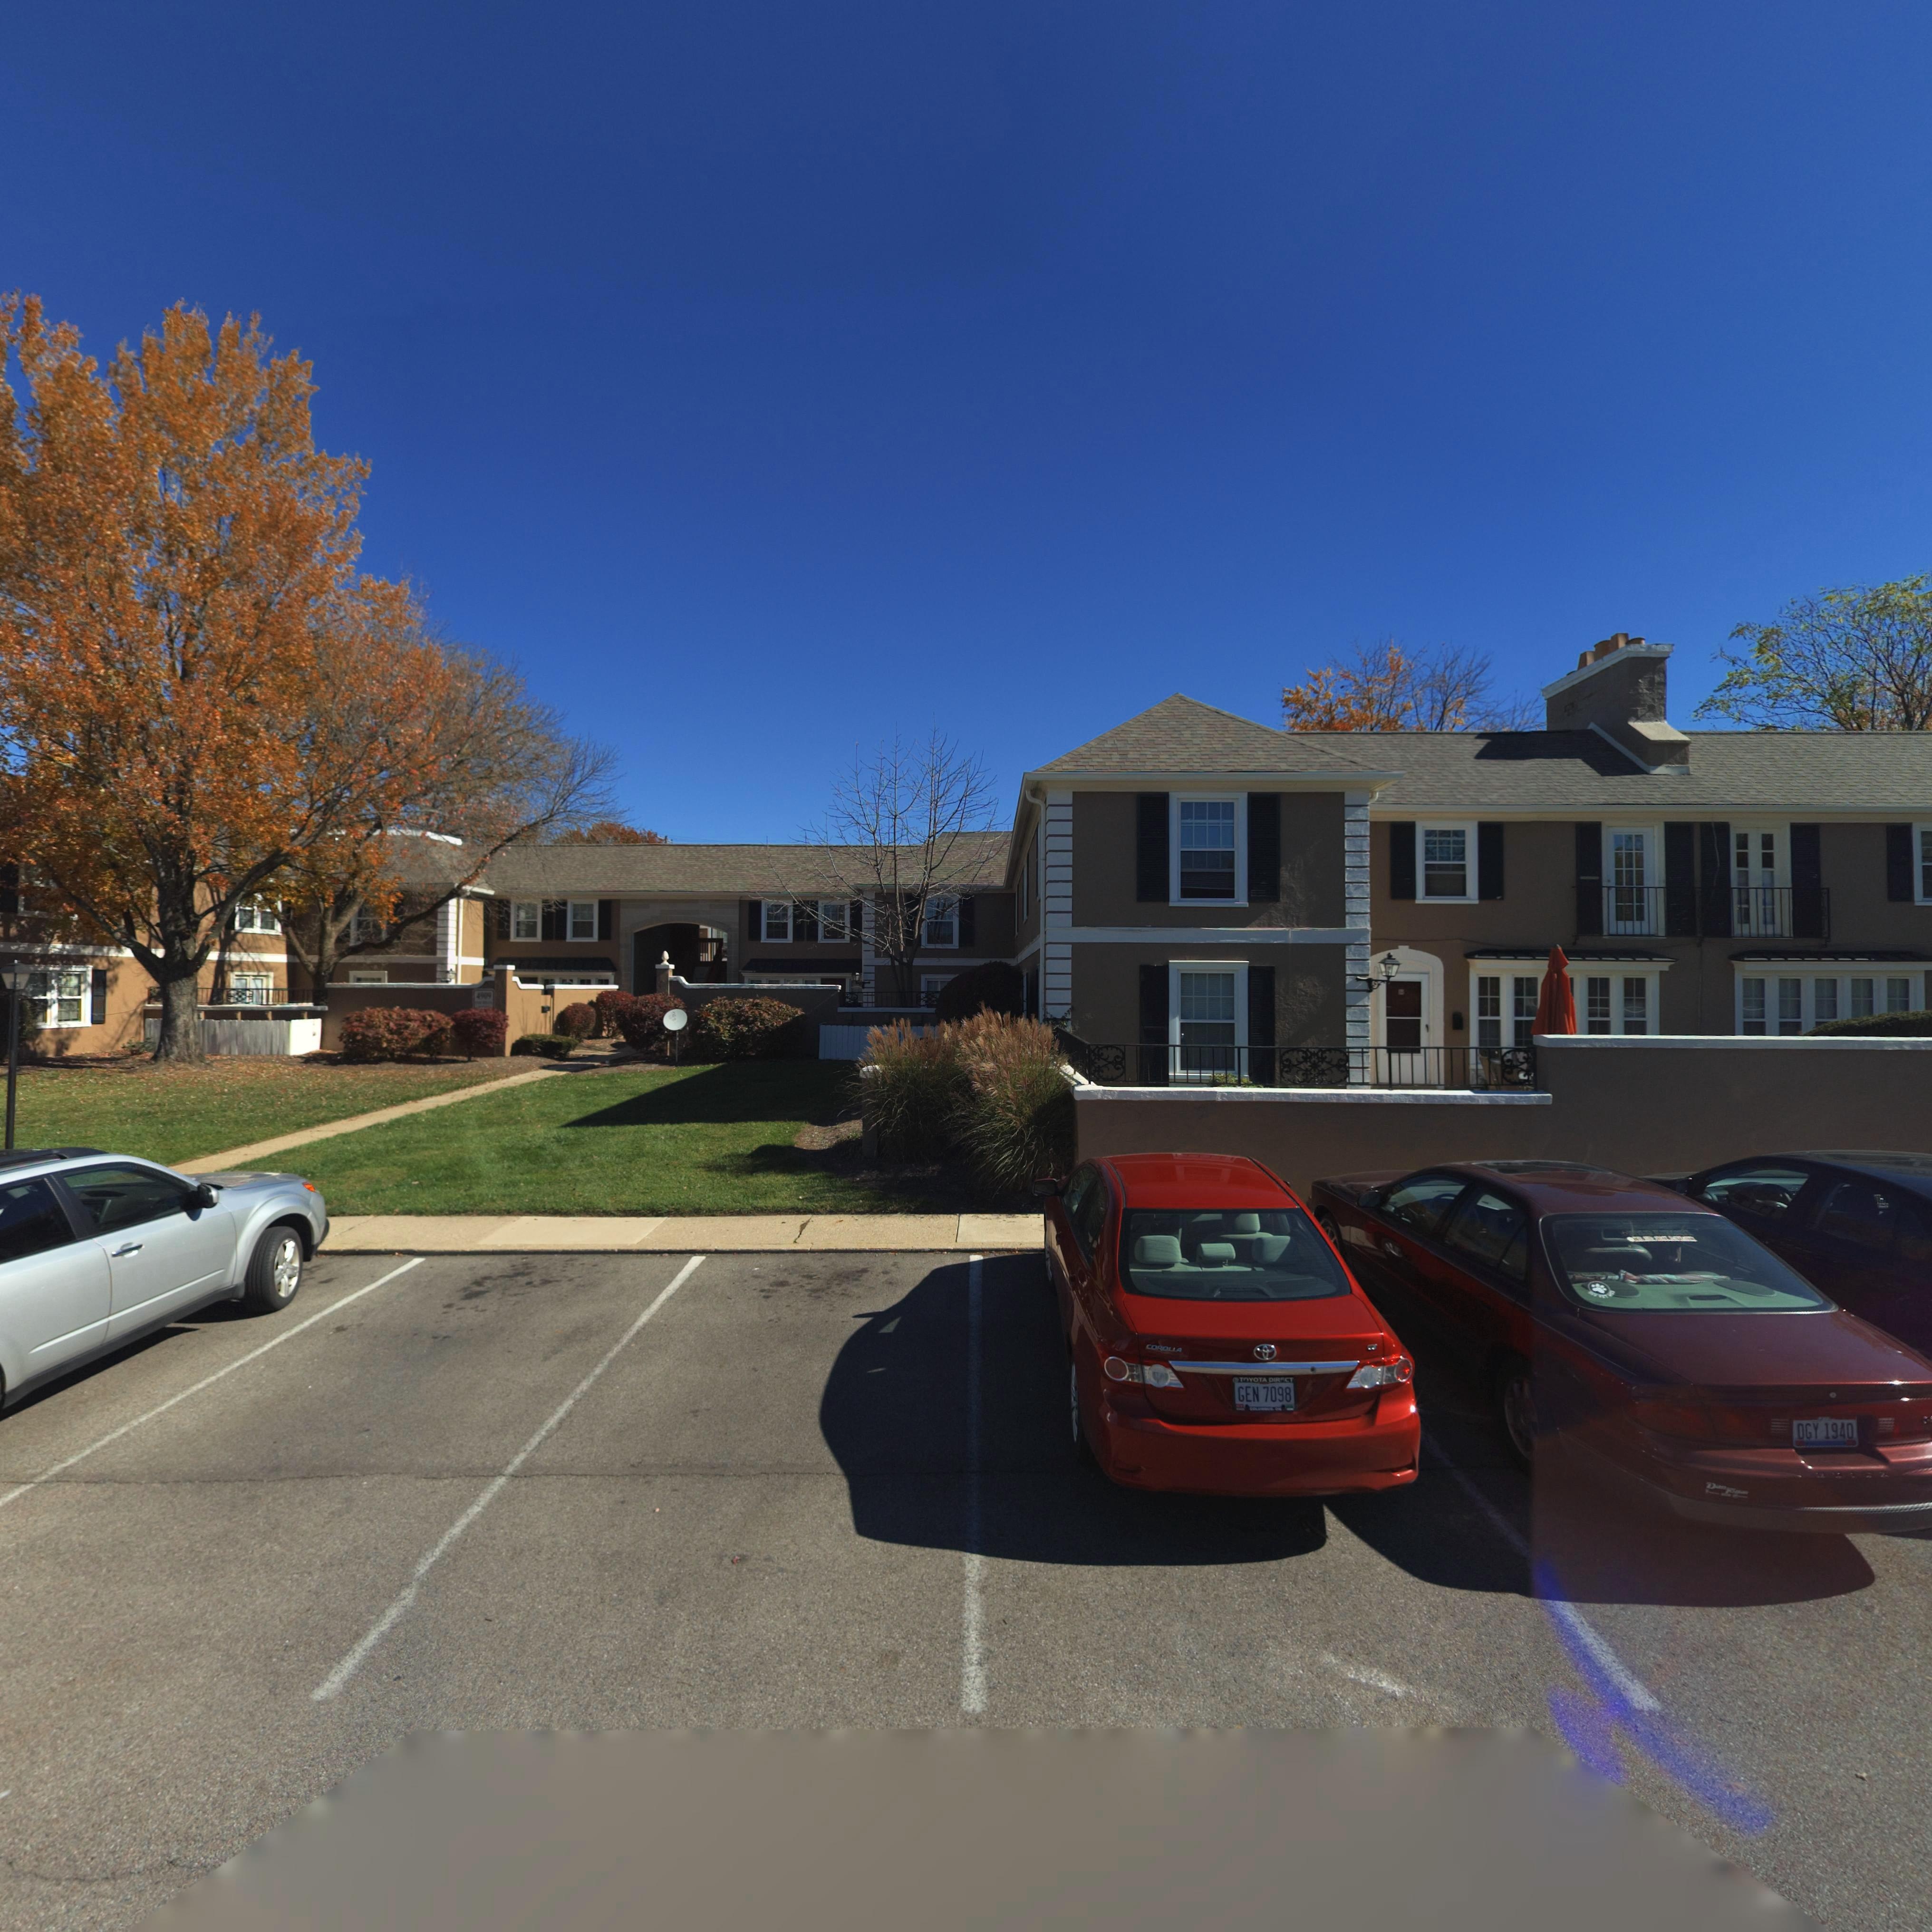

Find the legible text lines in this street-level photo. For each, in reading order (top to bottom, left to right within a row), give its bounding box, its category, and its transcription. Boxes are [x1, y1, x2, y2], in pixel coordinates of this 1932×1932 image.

[475, 991, 492, 999] StreetNumber: 4909